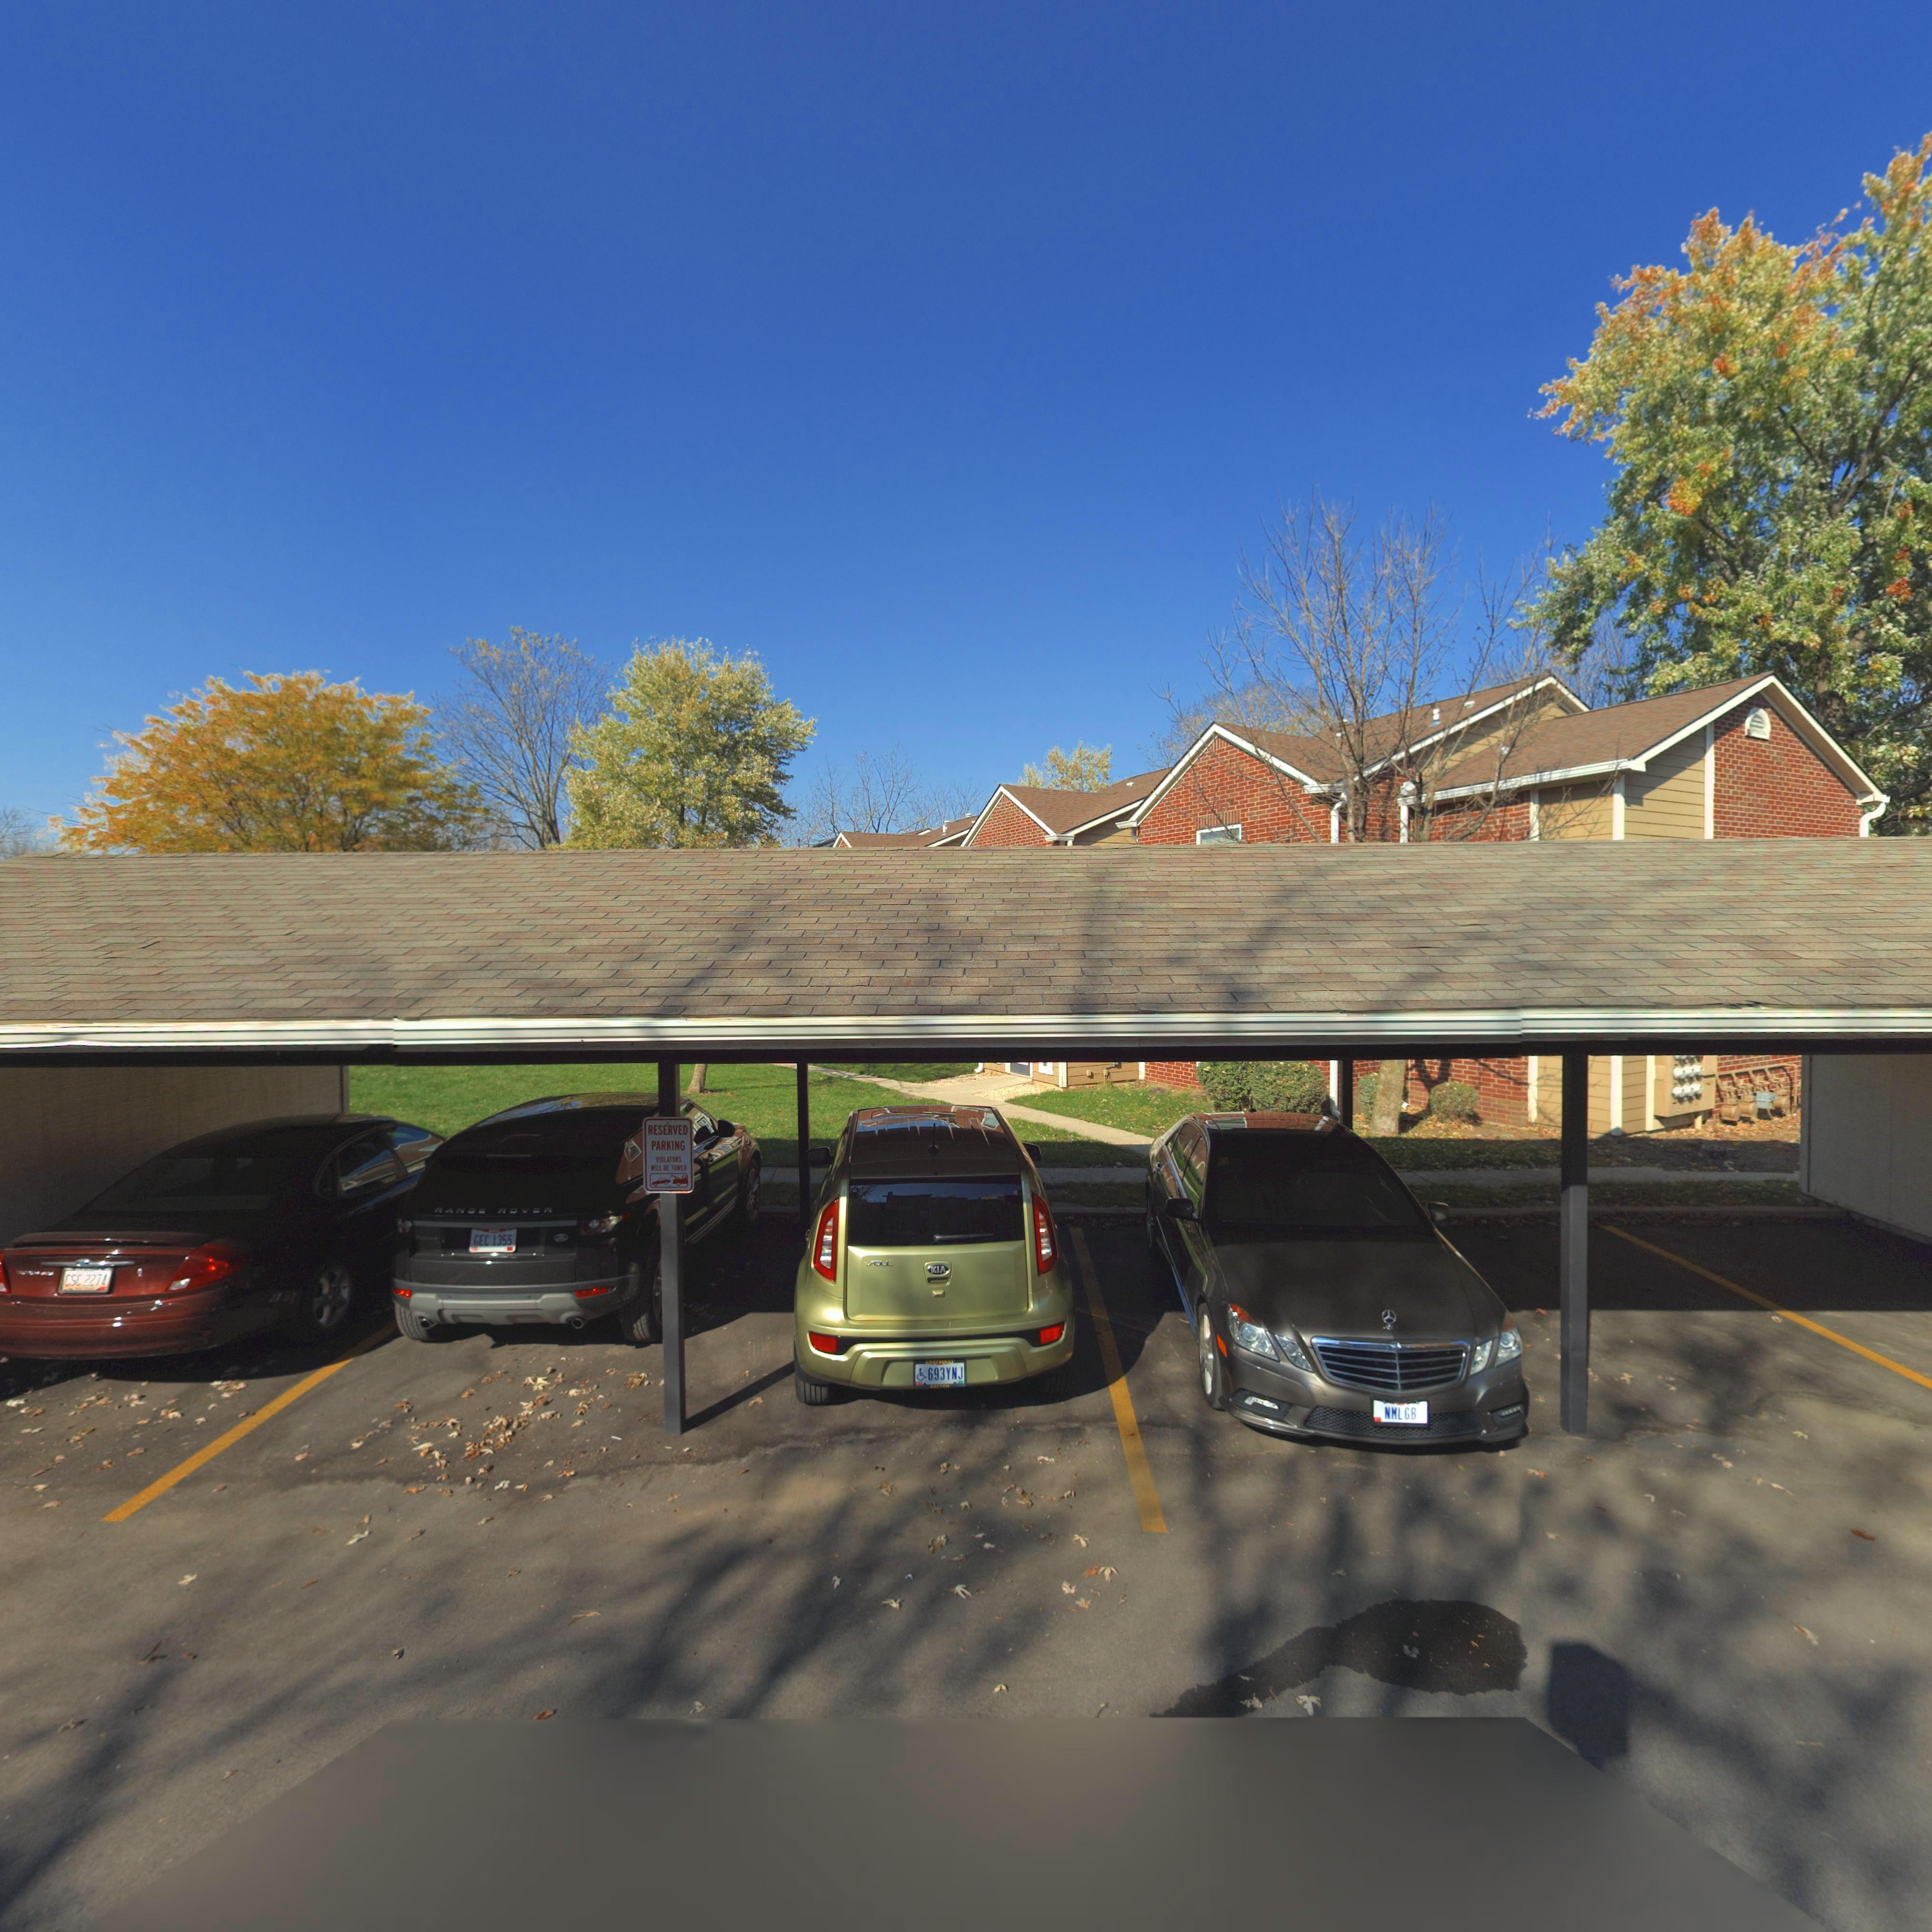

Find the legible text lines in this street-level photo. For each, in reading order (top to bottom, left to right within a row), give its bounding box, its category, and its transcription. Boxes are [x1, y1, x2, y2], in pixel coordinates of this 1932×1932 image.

[647, 1123, 690, 1137] None: RESERVED
[650, 1139, 686, 1152] None: PARKING
[654, 1154, 683, 1164] None: VIOLATORS
[649, 1163, 688, 1173] None: WILL BE TOWED
[432, 1205, 555, 1216] None: RANGE ROVER
[472, 1232, 514, 1247] None: GEC 1355
[863, 1257, 896, 1268] None: SOUL
[929, 1264, 947, 1275] None: KIA
[63, 1272, 110, 1288] None: CSC 2274
[927, 1364, 965, 1382] None: 693YNJ
[1383, 1404, 1418, 1421] None: NMLGB